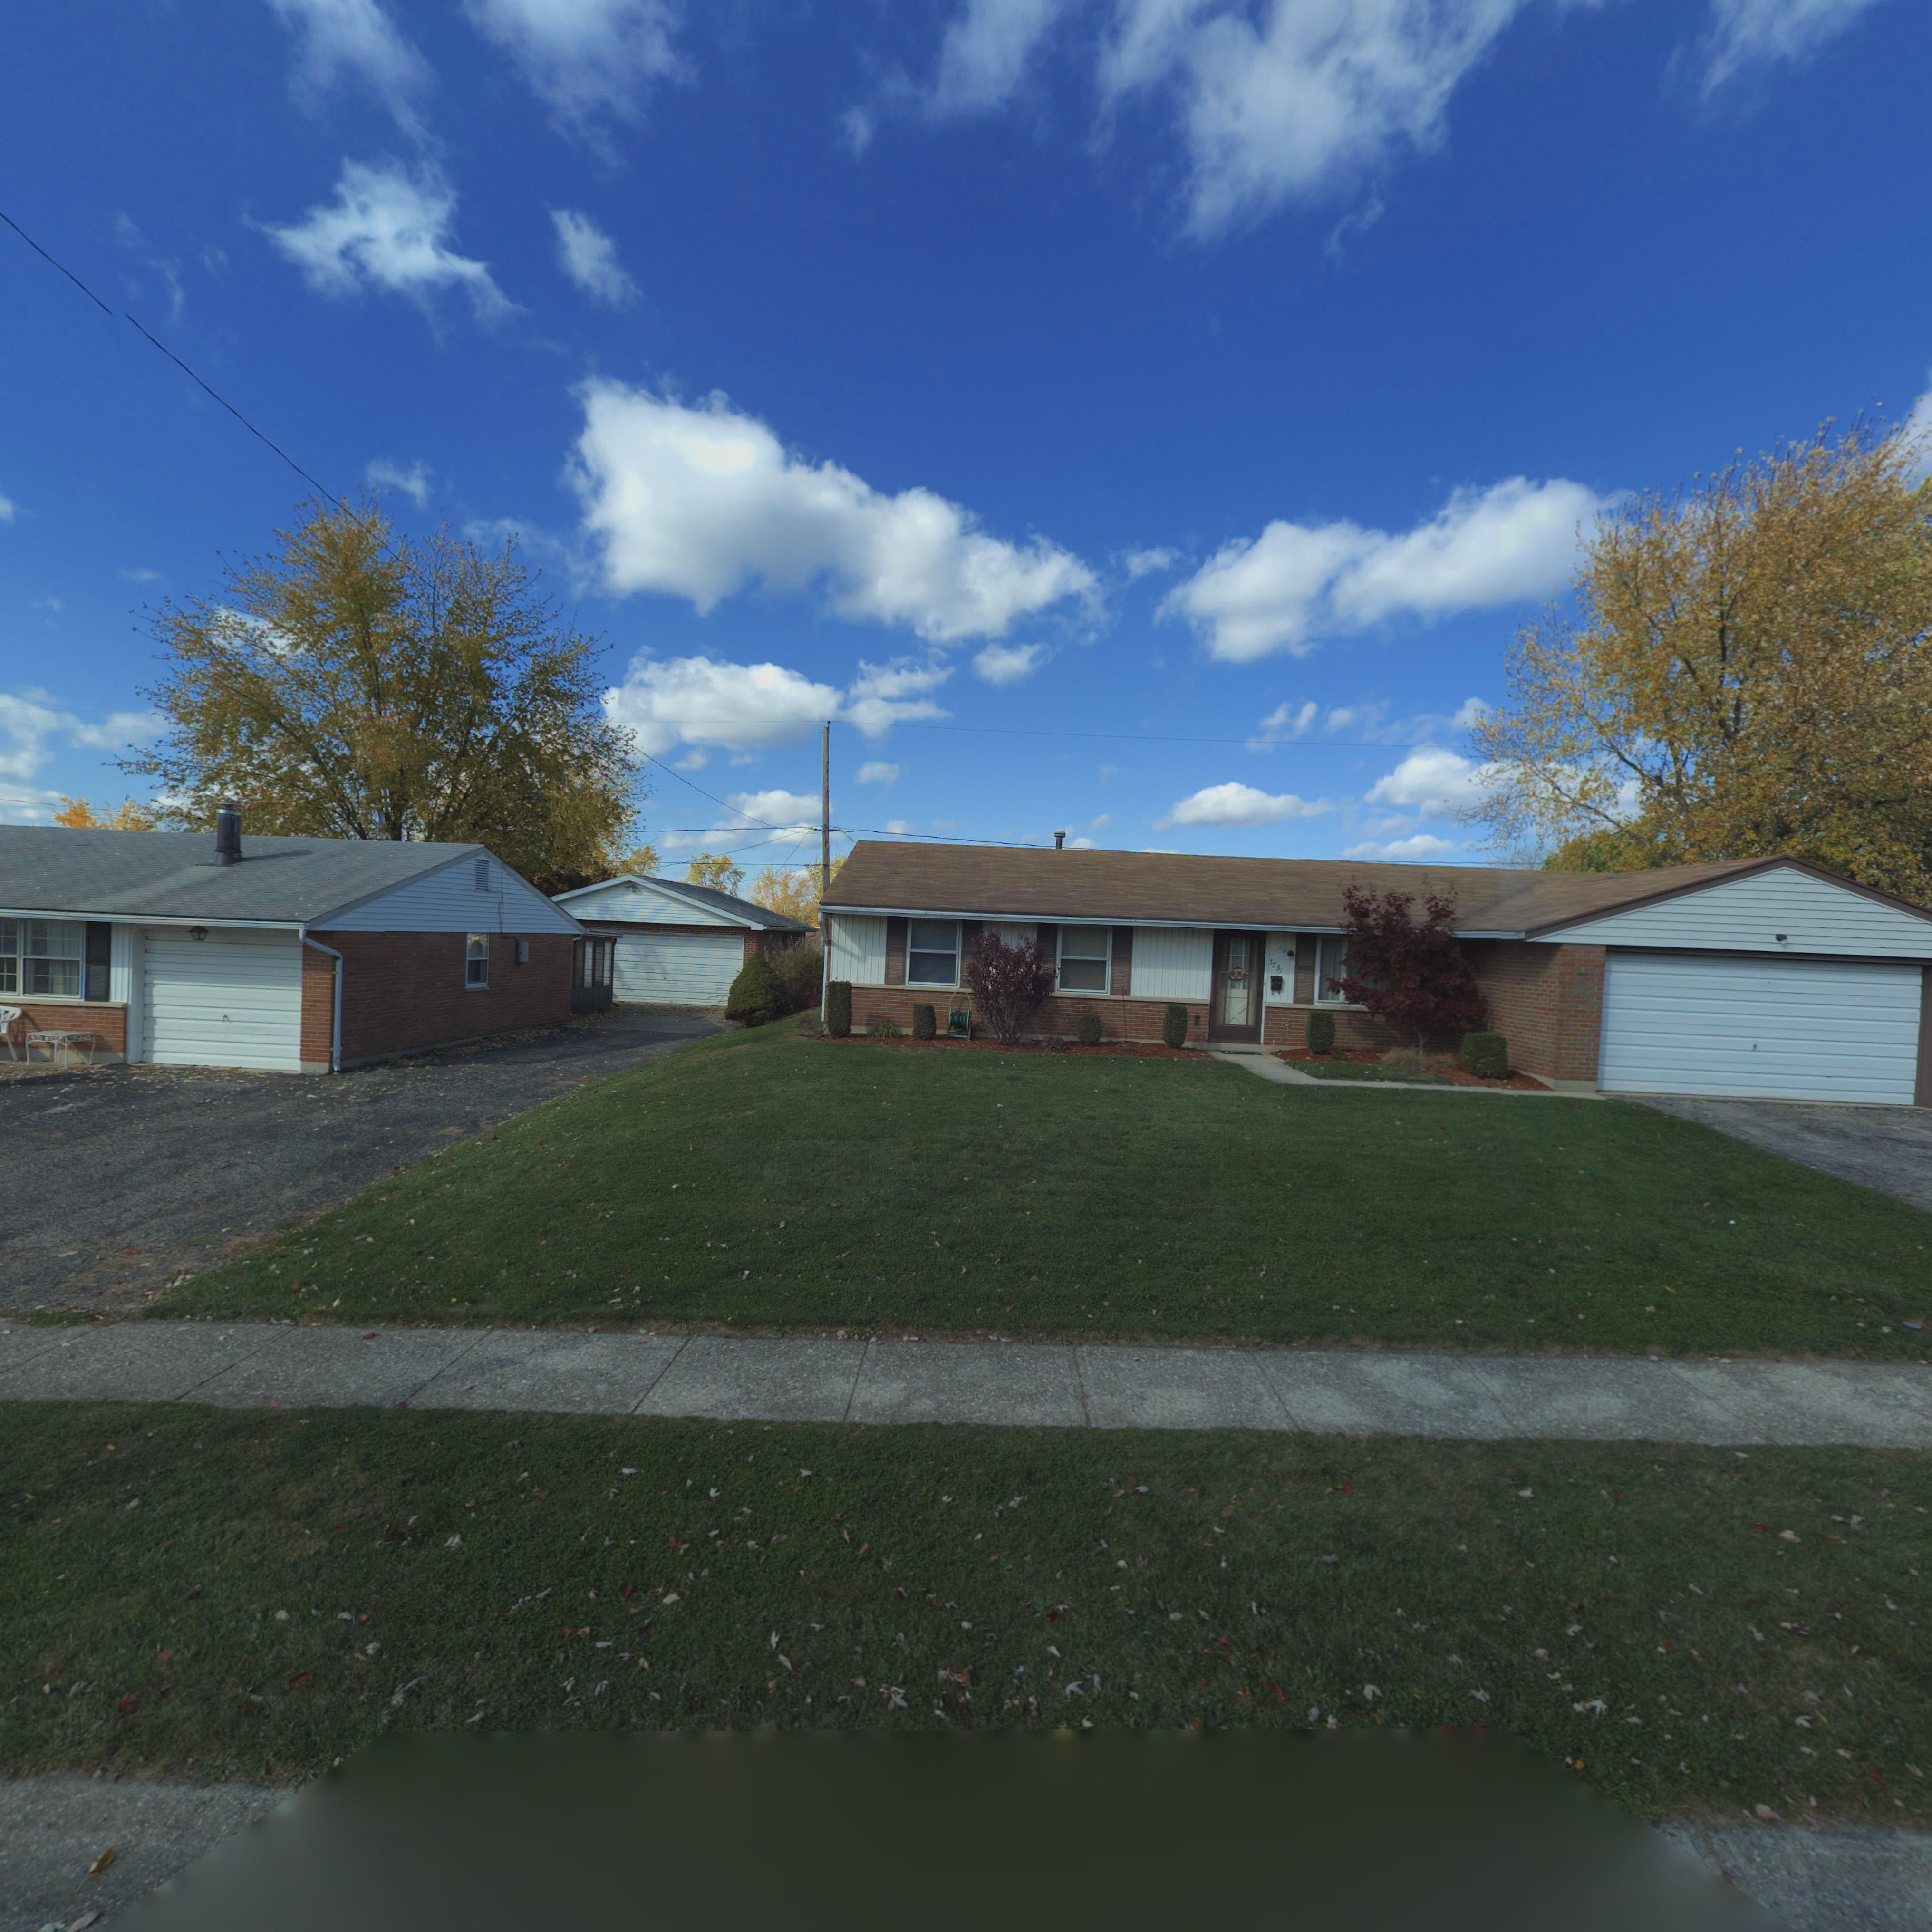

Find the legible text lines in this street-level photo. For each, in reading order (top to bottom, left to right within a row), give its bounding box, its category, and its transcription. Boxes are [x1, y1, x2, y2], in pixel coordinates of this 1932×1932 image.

[1269, 958, 1283, 974] StreetNumber: 7731